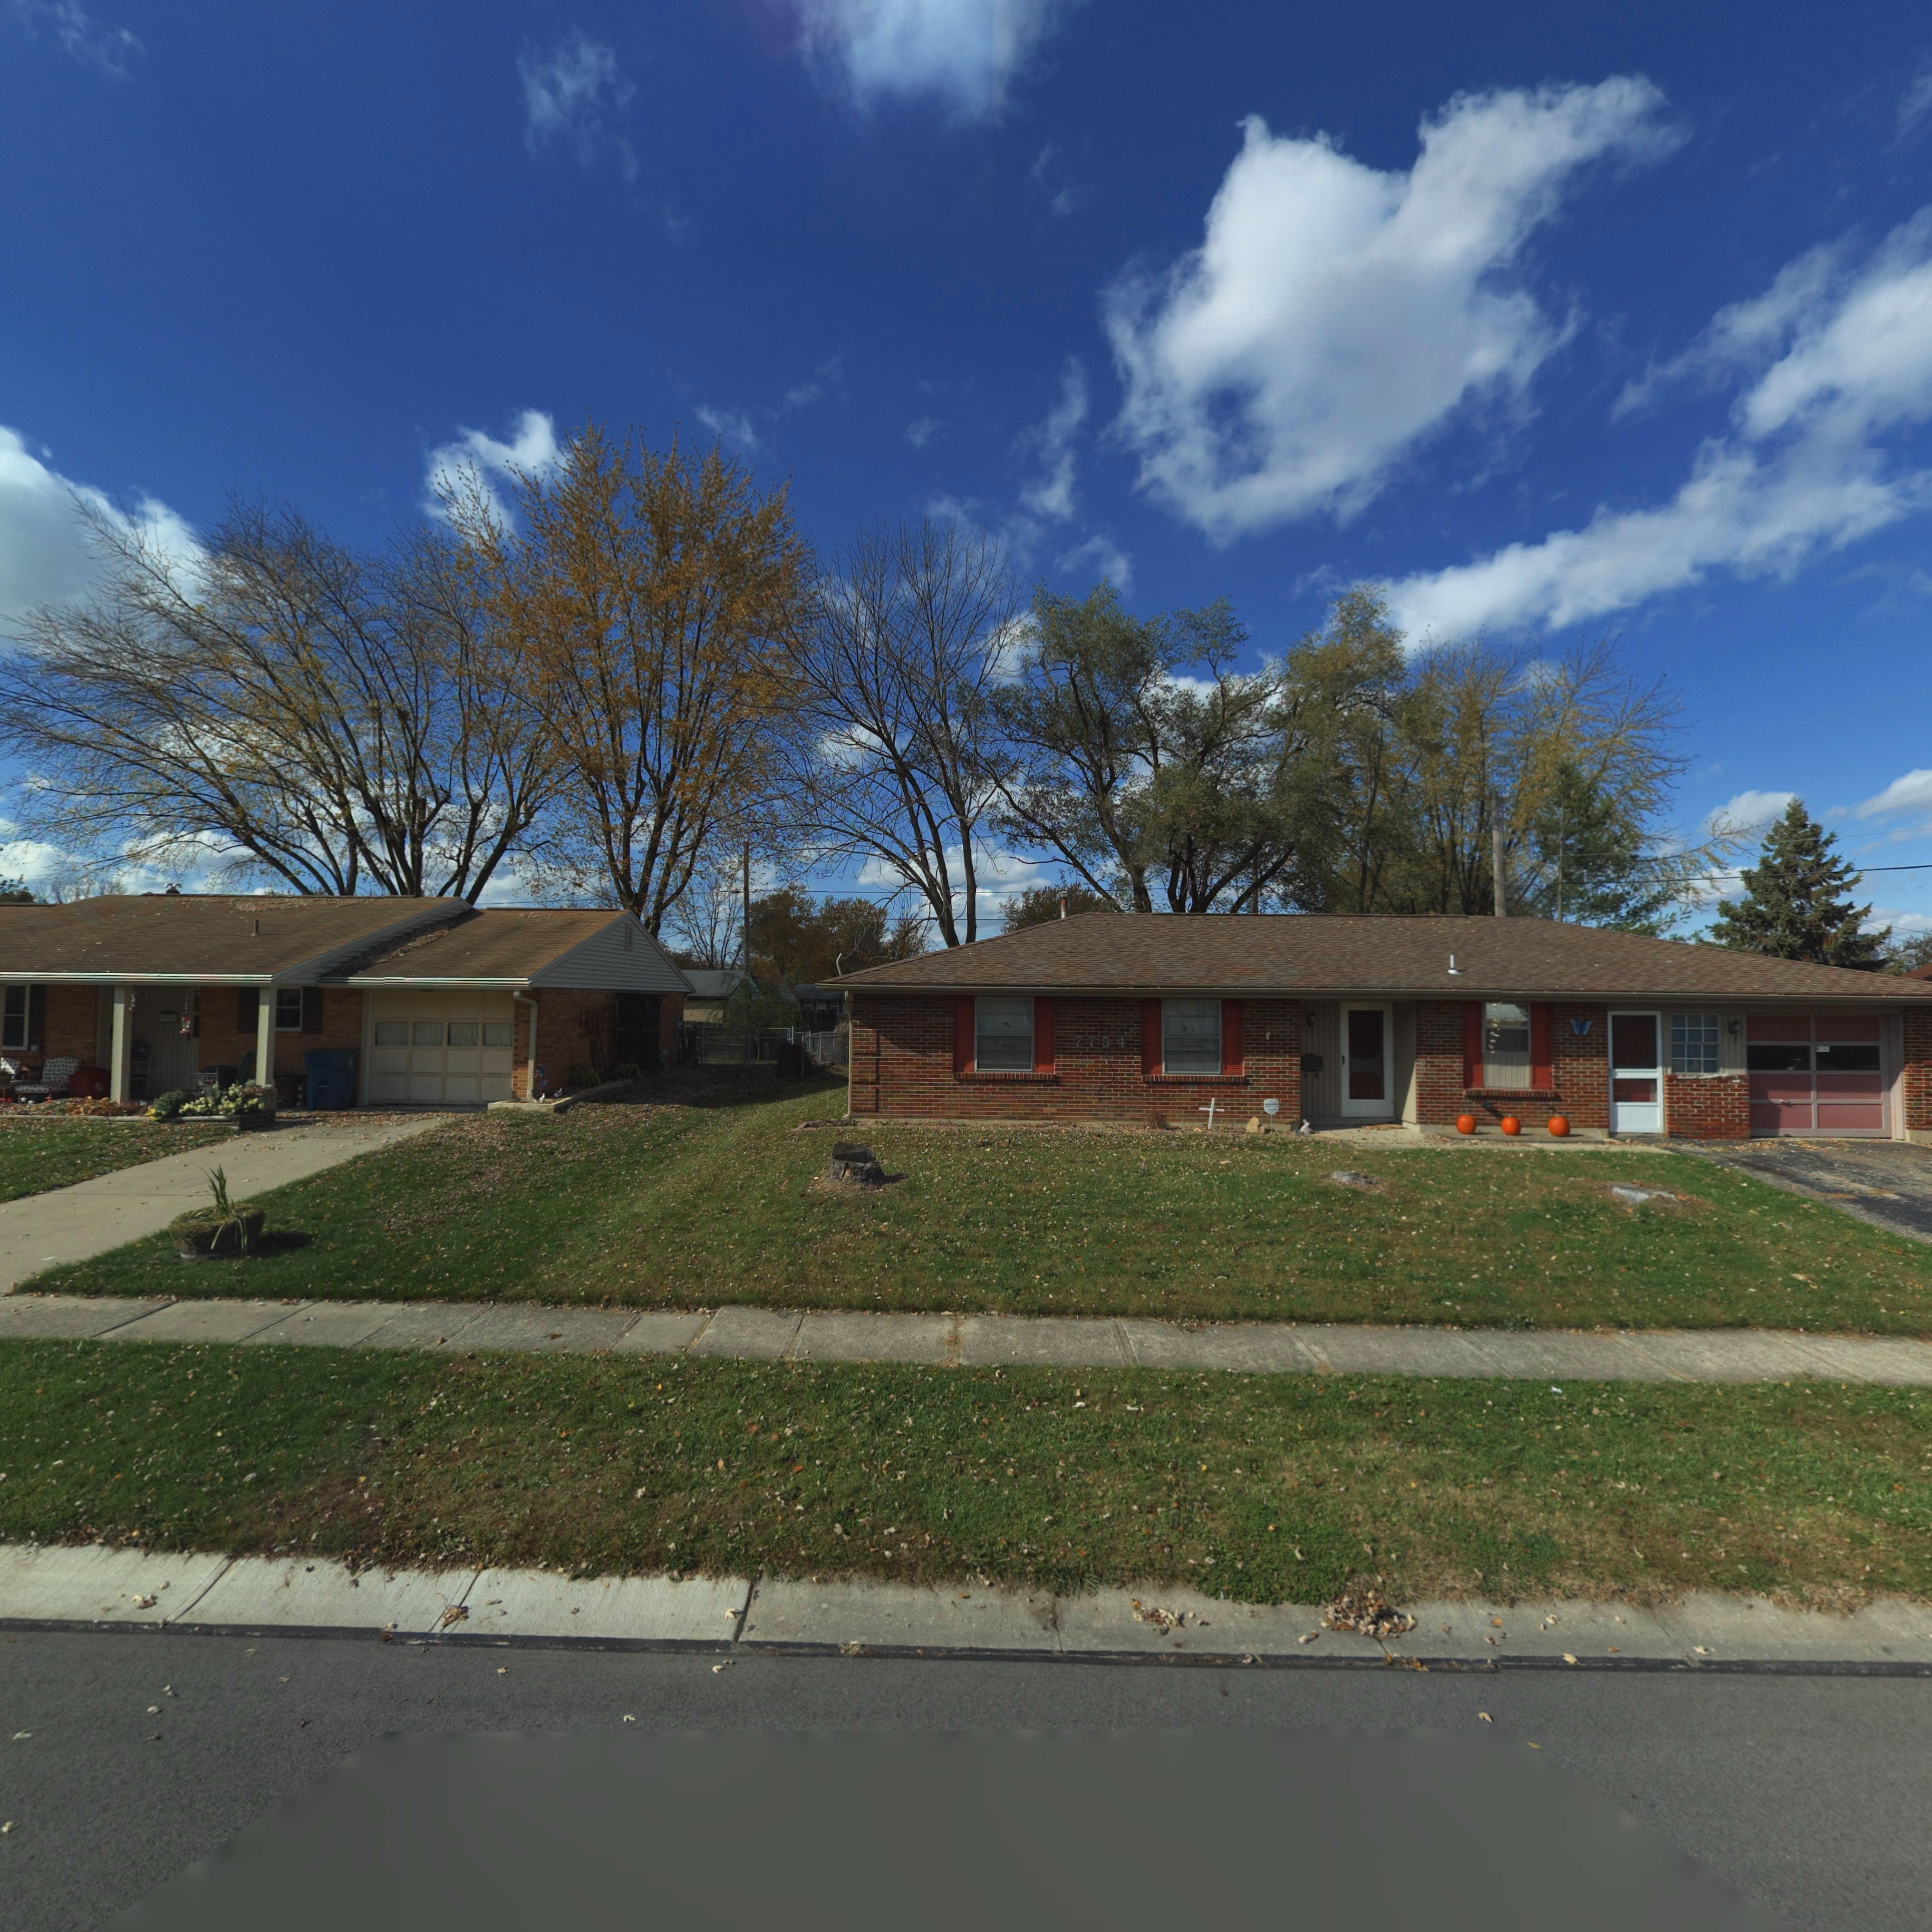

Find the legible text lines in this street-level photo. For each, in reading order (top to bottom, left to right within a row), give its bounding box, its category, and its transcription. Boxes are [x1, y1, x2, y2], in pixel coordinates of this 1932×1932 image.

[160, 1014, 176, 1021] StreetNumber: 7**6
[1074, 1035, 1126, 1048] StreetNumber: 7754